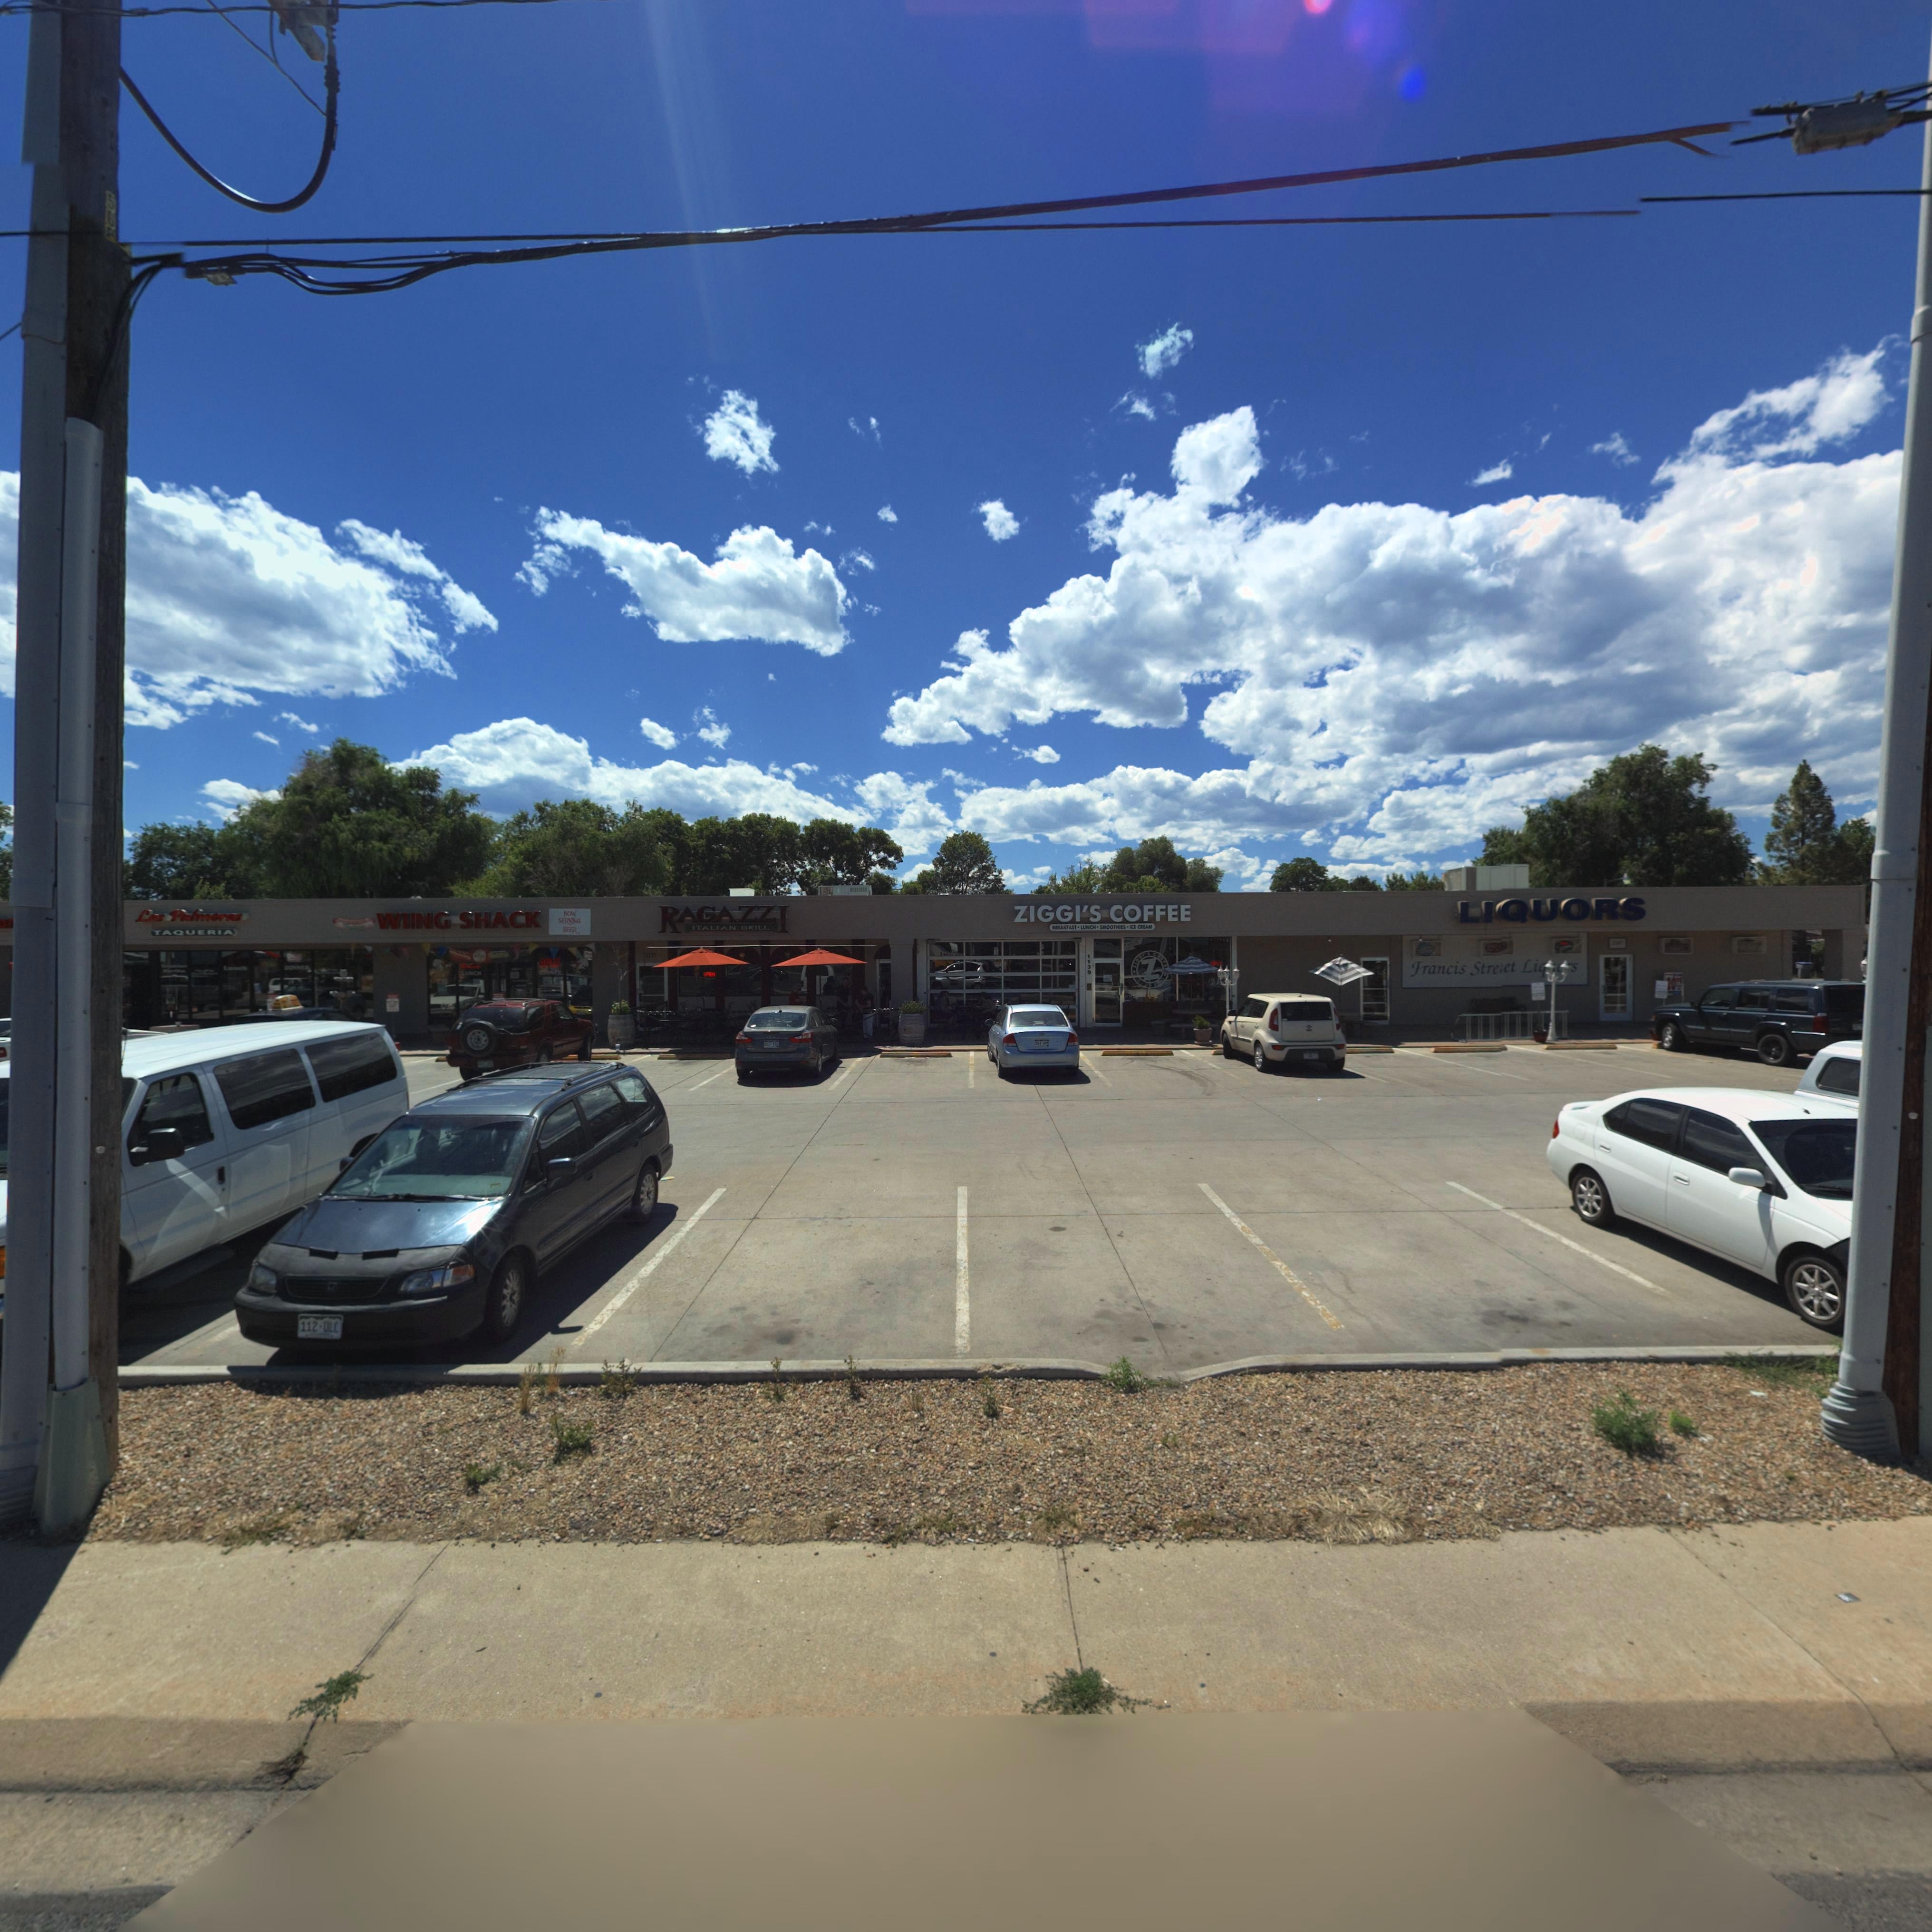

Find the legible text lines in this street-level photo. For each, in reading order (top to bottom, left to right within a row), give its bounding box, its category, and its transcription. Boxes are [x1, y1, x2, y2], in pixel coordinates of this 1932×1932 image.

[133, 907, 244, 924] BusinessName: Las Palmoras
[375, 909, 543, 929] BusinessName: WING SHACK
[657, 905, 791, 933] BusinessName: RAGAZZI
[1012, 904, 1191, 923] BusinessName: ZIGGI'S COFFEE
[1611, 939, 1624, 946] StreetNumber: 1147
[645, 952, 657, 958] StreetNumber: 113*
[1087, 954, 1091, 975] StreetNumber: 1139
[1132, 952, 1168, 969] BusinessName: ZIGGI'S COFFE
[1409, 957, 1579, 978] BusinessName: Francis Stre*et Liq***s